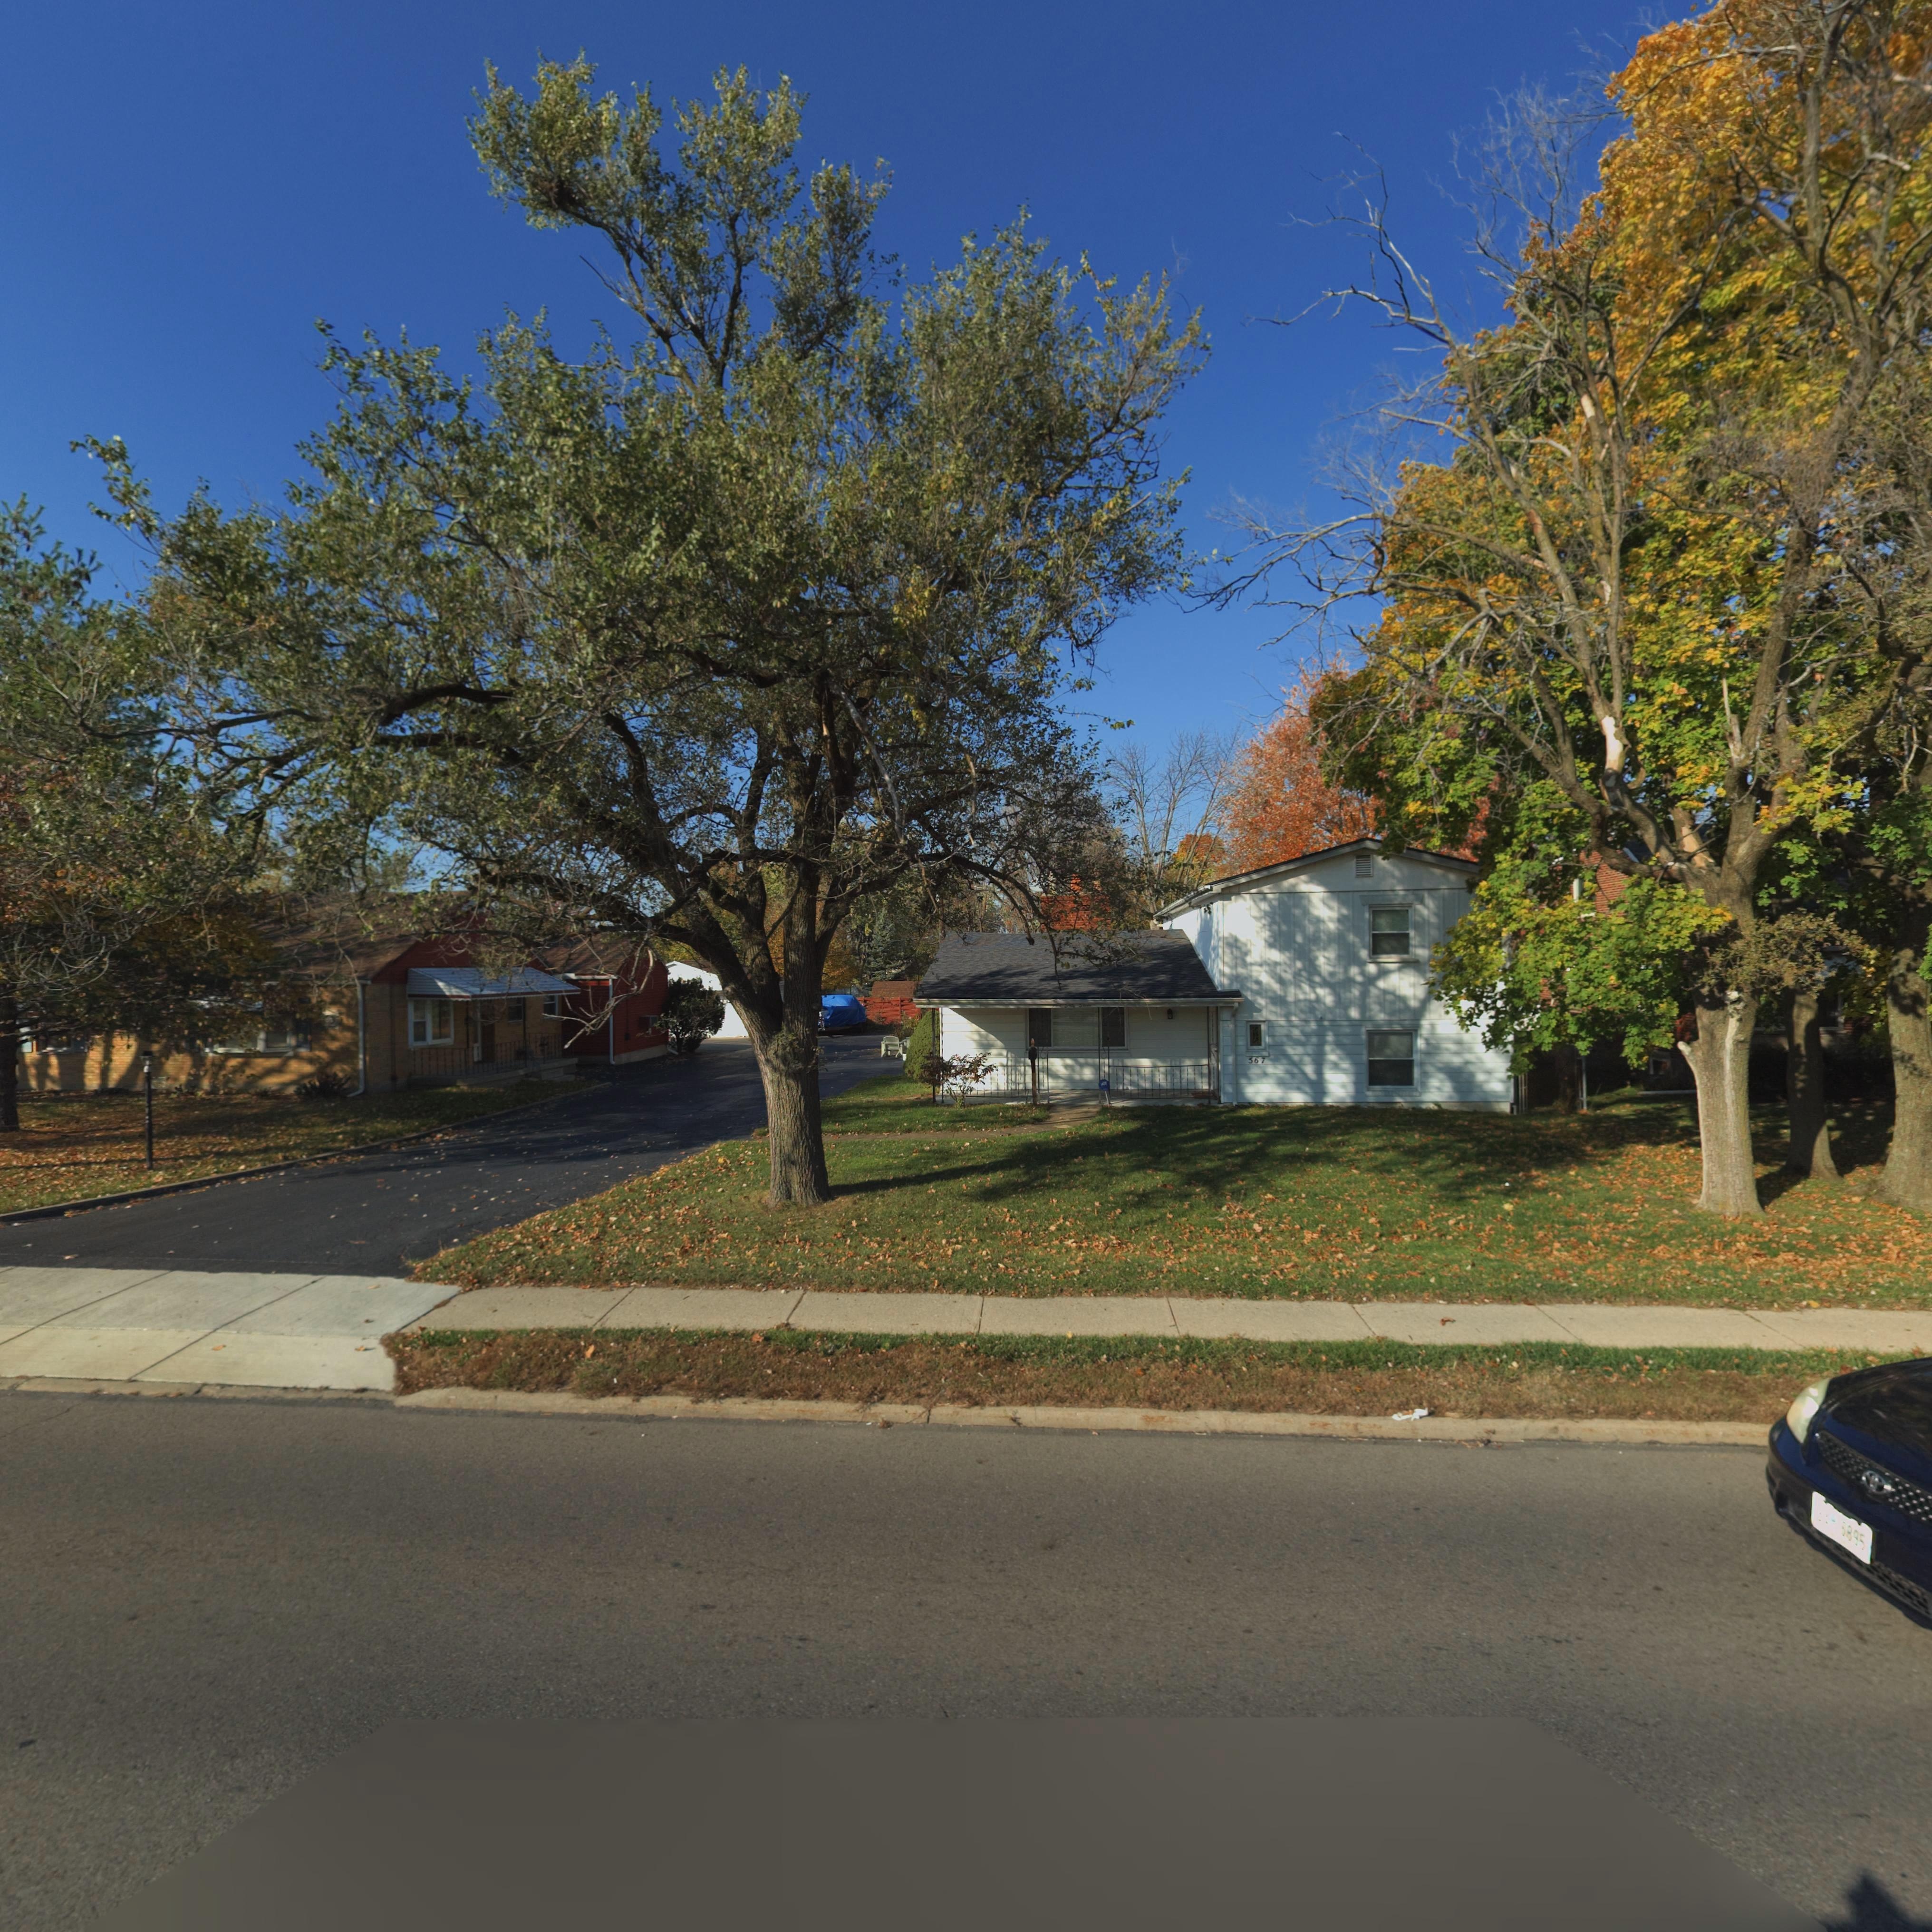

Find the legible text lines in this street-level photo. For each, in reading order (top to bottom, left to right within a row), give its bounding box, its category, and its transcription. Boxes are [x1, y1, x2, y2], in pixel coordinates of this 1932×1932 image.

[1247, 1057, 1266, 1064] StreetNumber: 567